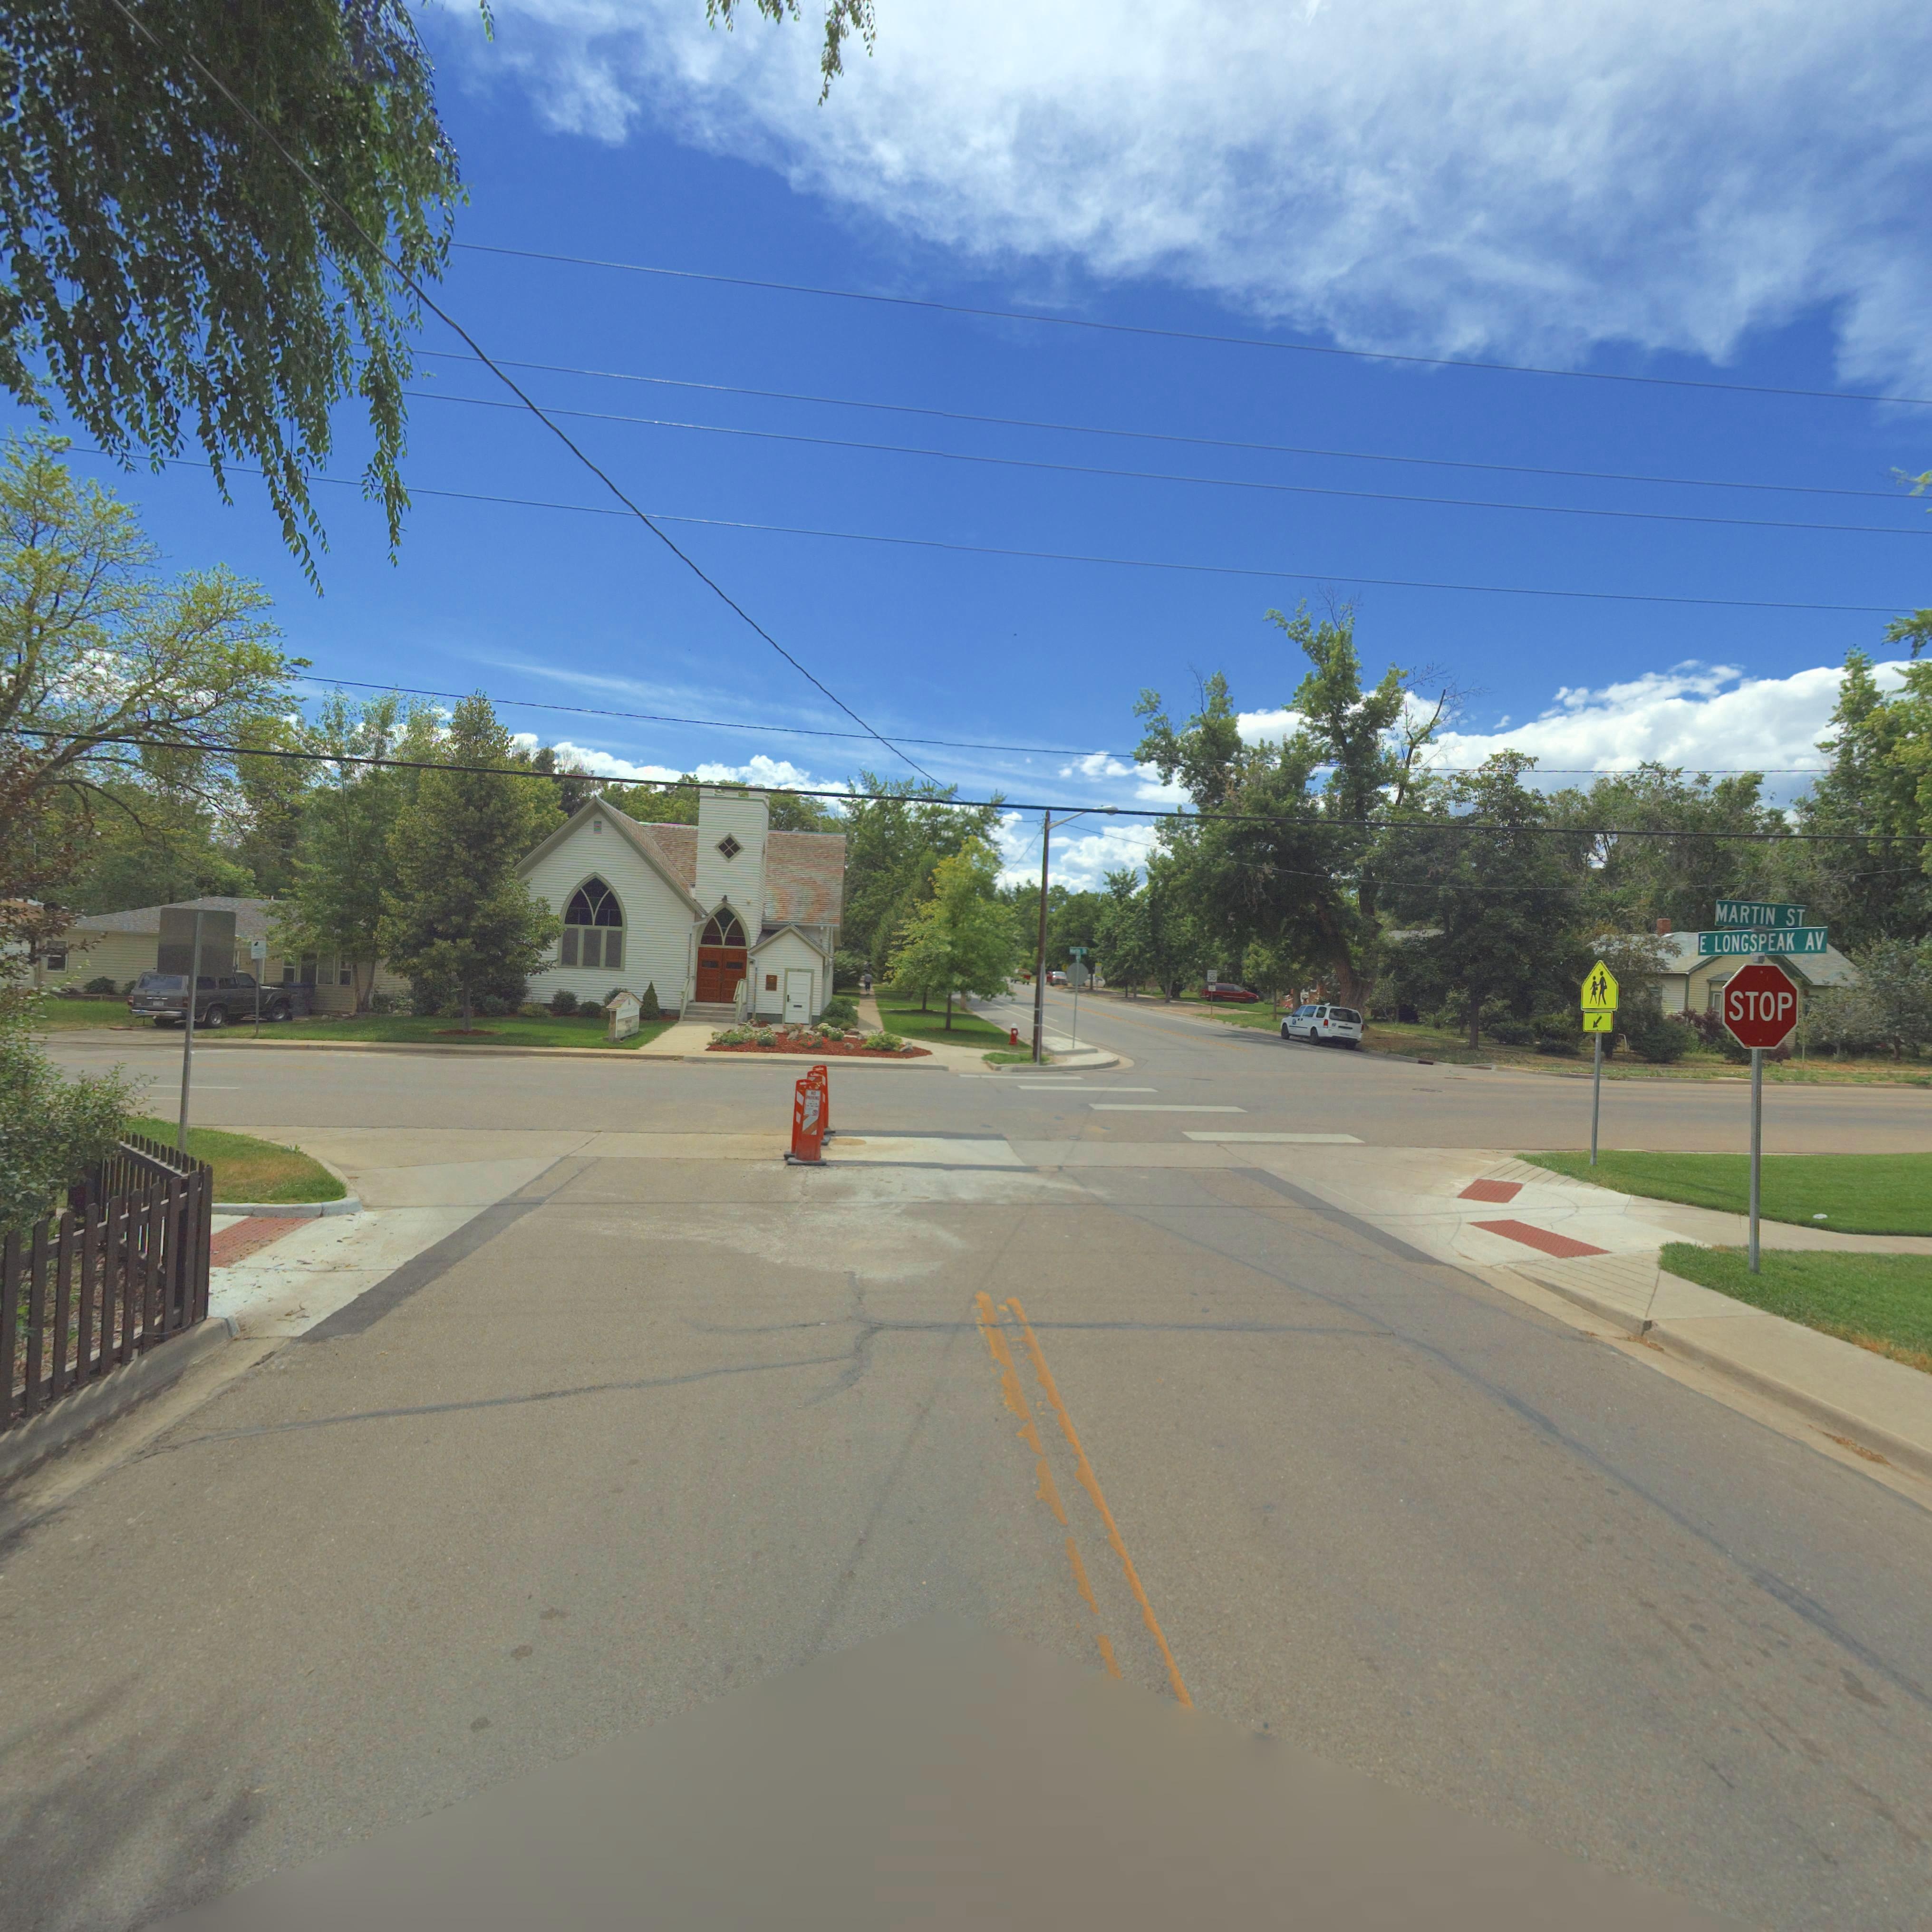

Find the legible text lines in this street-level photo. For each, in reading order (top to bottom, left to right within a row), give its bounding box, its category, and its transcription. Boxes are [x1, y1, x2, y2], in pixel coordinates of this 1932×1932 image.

[1715, 903, 1806, 927] StreetName: MARTIN ST
[1069, 948, 1087, 953] StreetName: M**t** St
[1699, 931, 1825, 953] StreetName: E LONGSPEAK AV